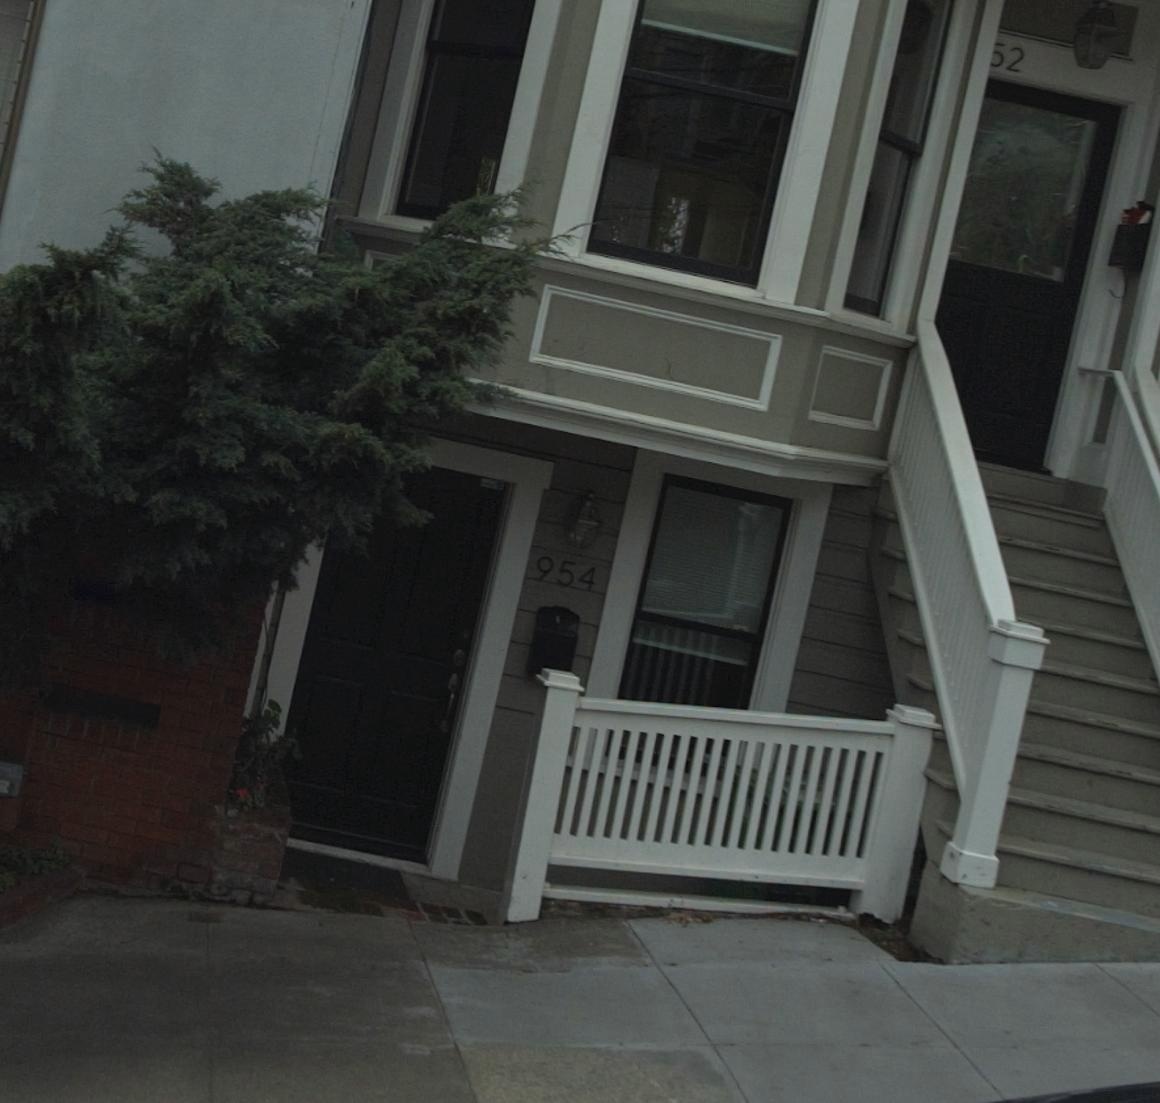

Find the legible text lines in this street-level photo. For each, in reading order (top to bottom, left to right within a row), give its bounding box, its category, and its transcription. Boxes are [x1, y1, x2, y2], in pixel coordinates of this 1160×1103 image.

[1003, 45, 1030, 76] StreetNumber: 2
[532, 552, 602, 596] StreetNumber: 954